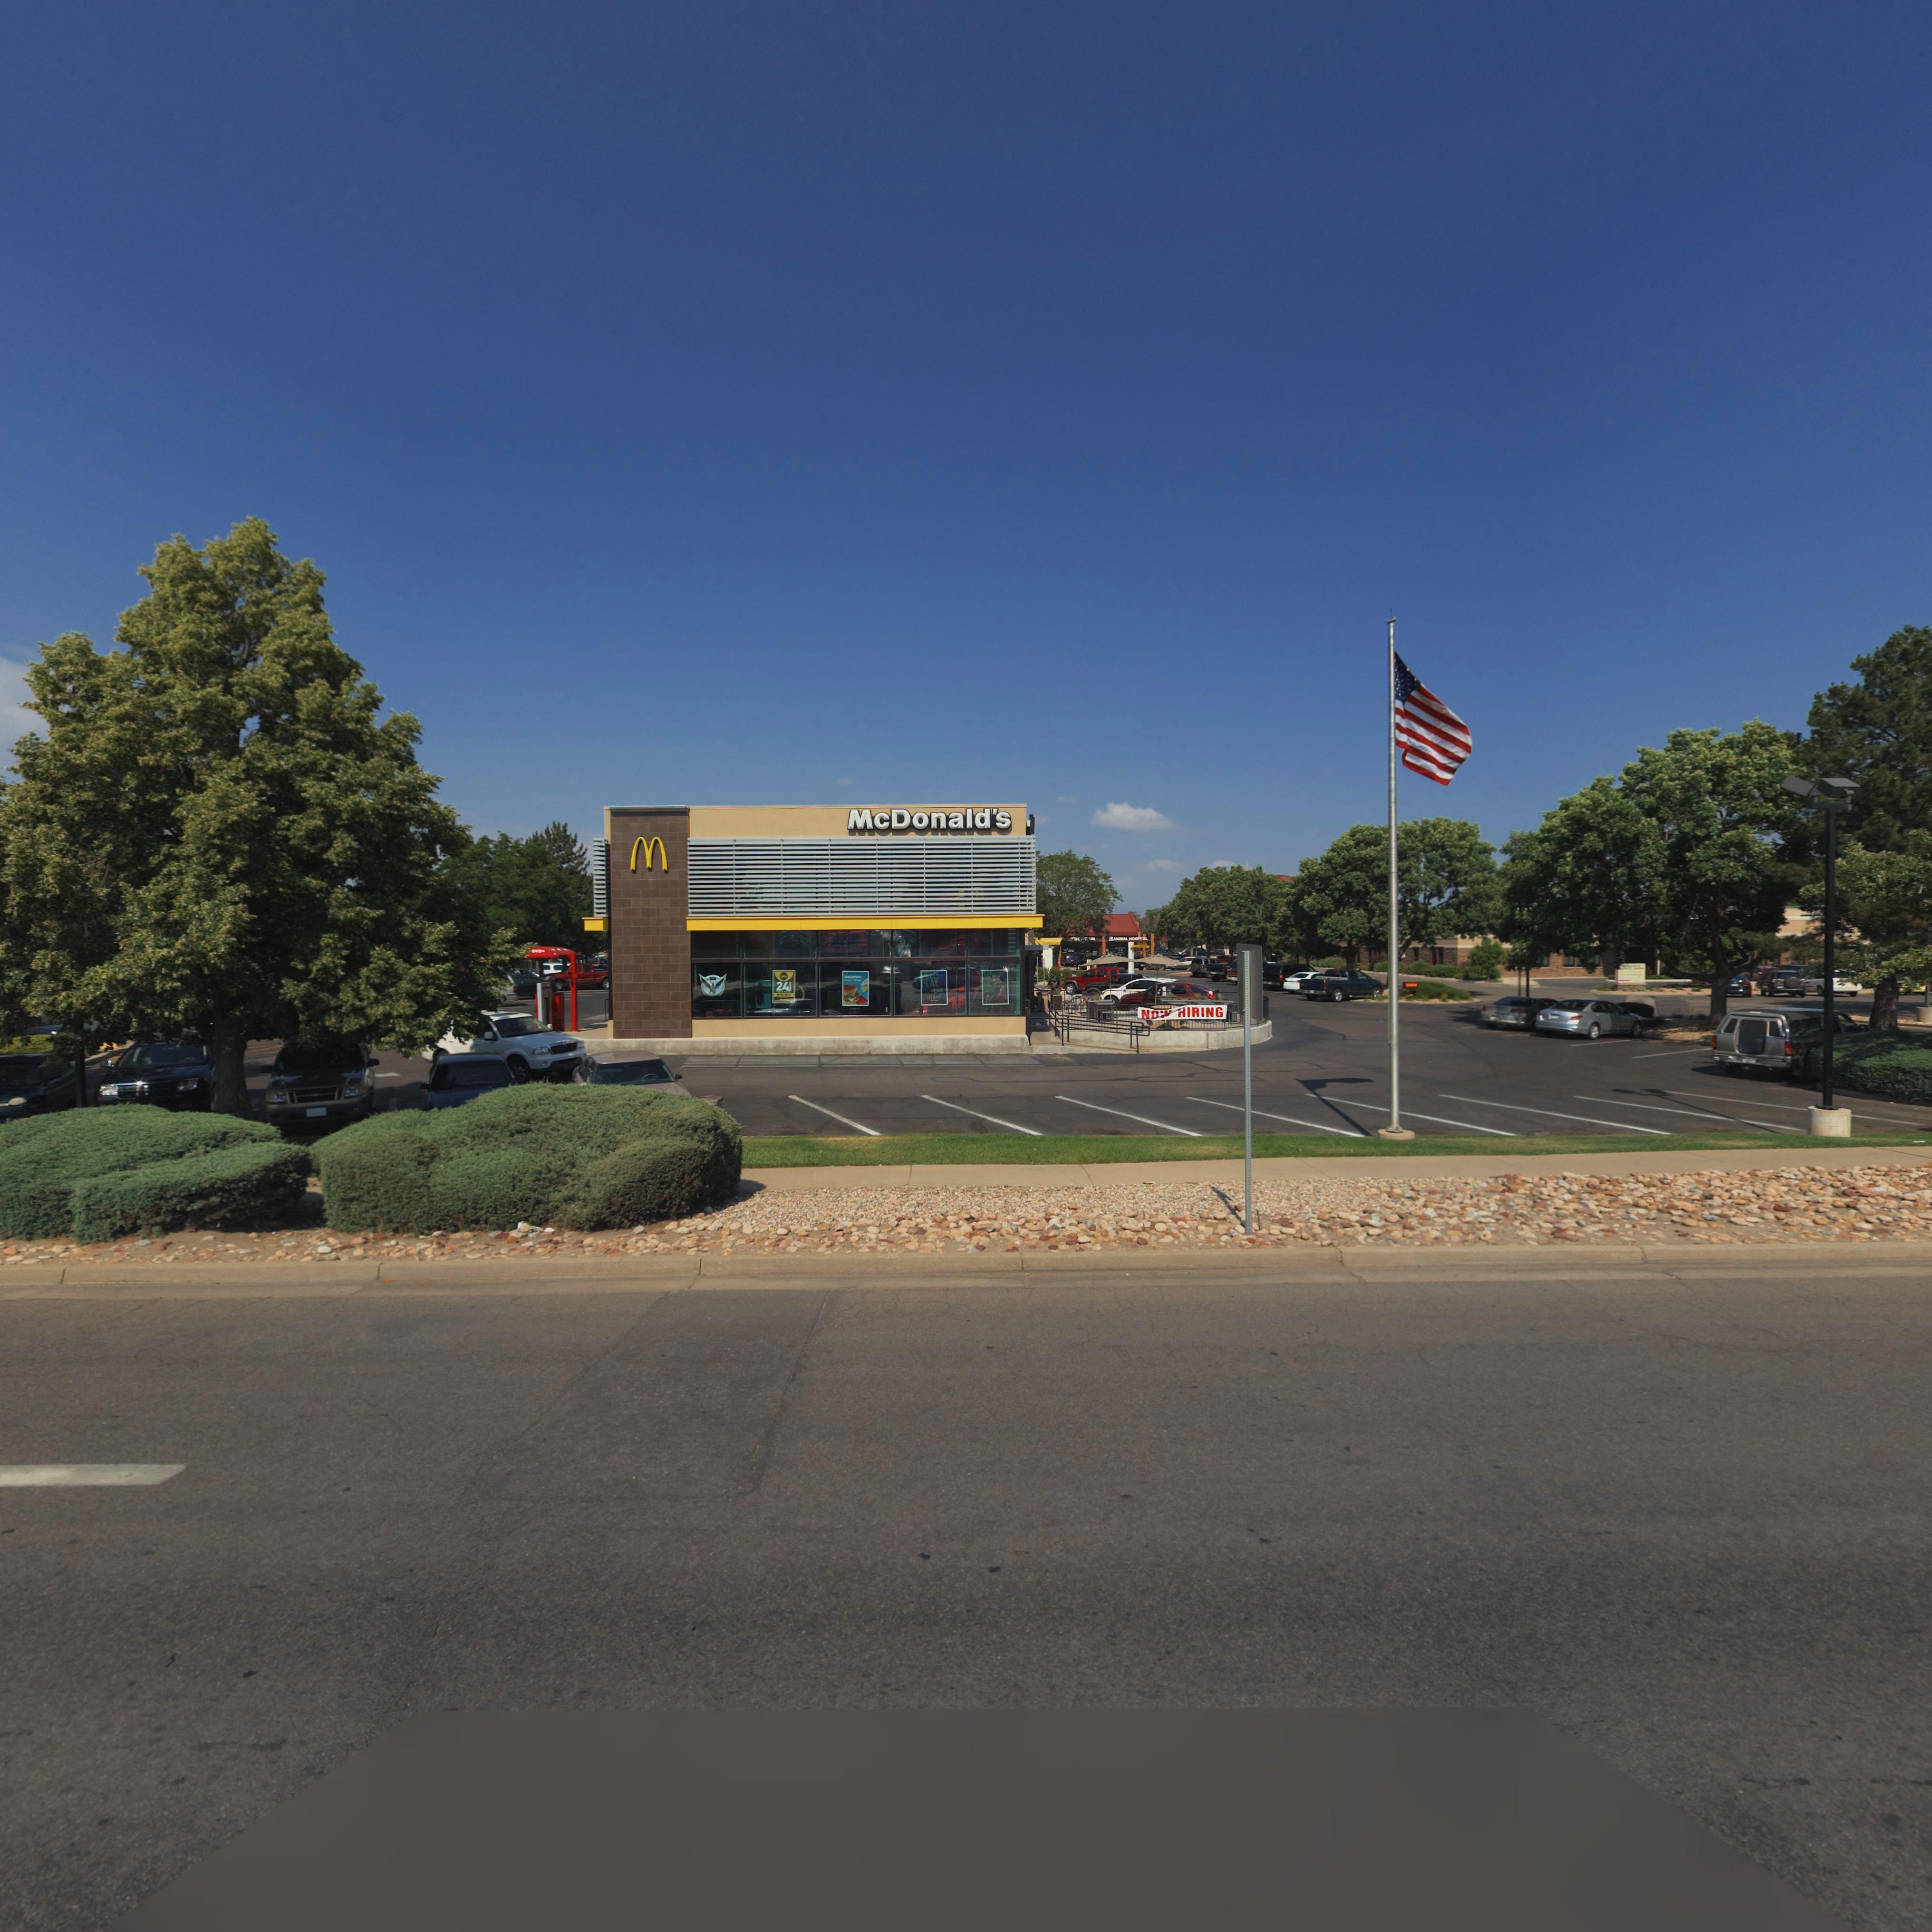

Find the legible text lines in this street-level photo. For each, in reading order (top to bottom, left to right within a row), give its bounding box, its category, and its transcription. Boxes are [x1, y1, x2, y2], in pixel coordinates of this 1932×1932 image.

[846, 808, 1012, 830] BusinessName: McDonald's
[1073, 937, 1096, 941] BusinessName: TH* *** *PA
[1113, 937, 1148, 940] BusinessName: ANIMAL HOSPITAL